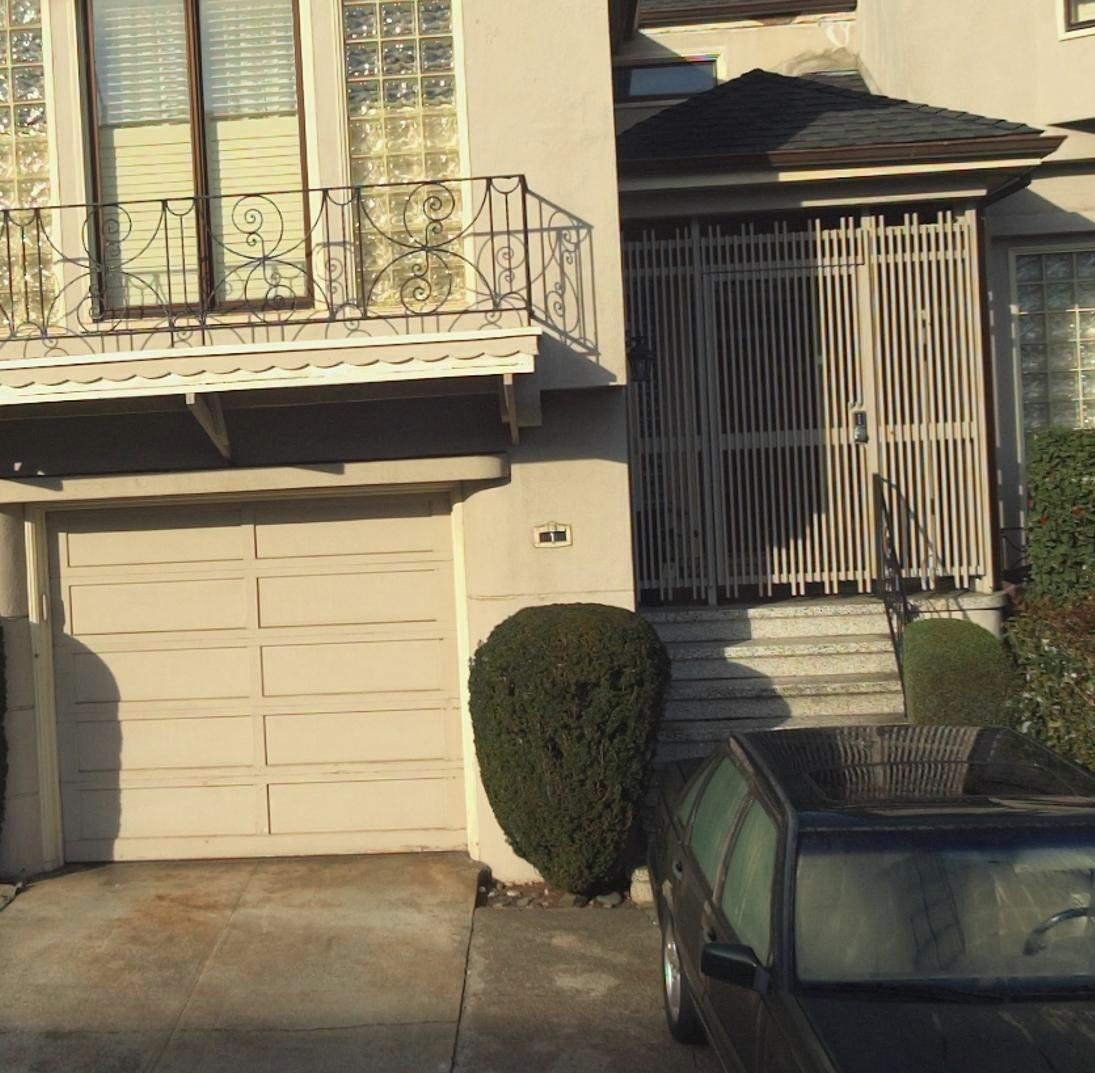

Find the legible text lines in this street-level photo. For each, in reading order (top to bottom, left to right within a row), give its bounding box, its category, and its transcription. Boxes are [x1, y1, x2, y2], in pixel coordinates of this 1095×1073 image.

[548, 530, 557, 546] StreetNumber: 1